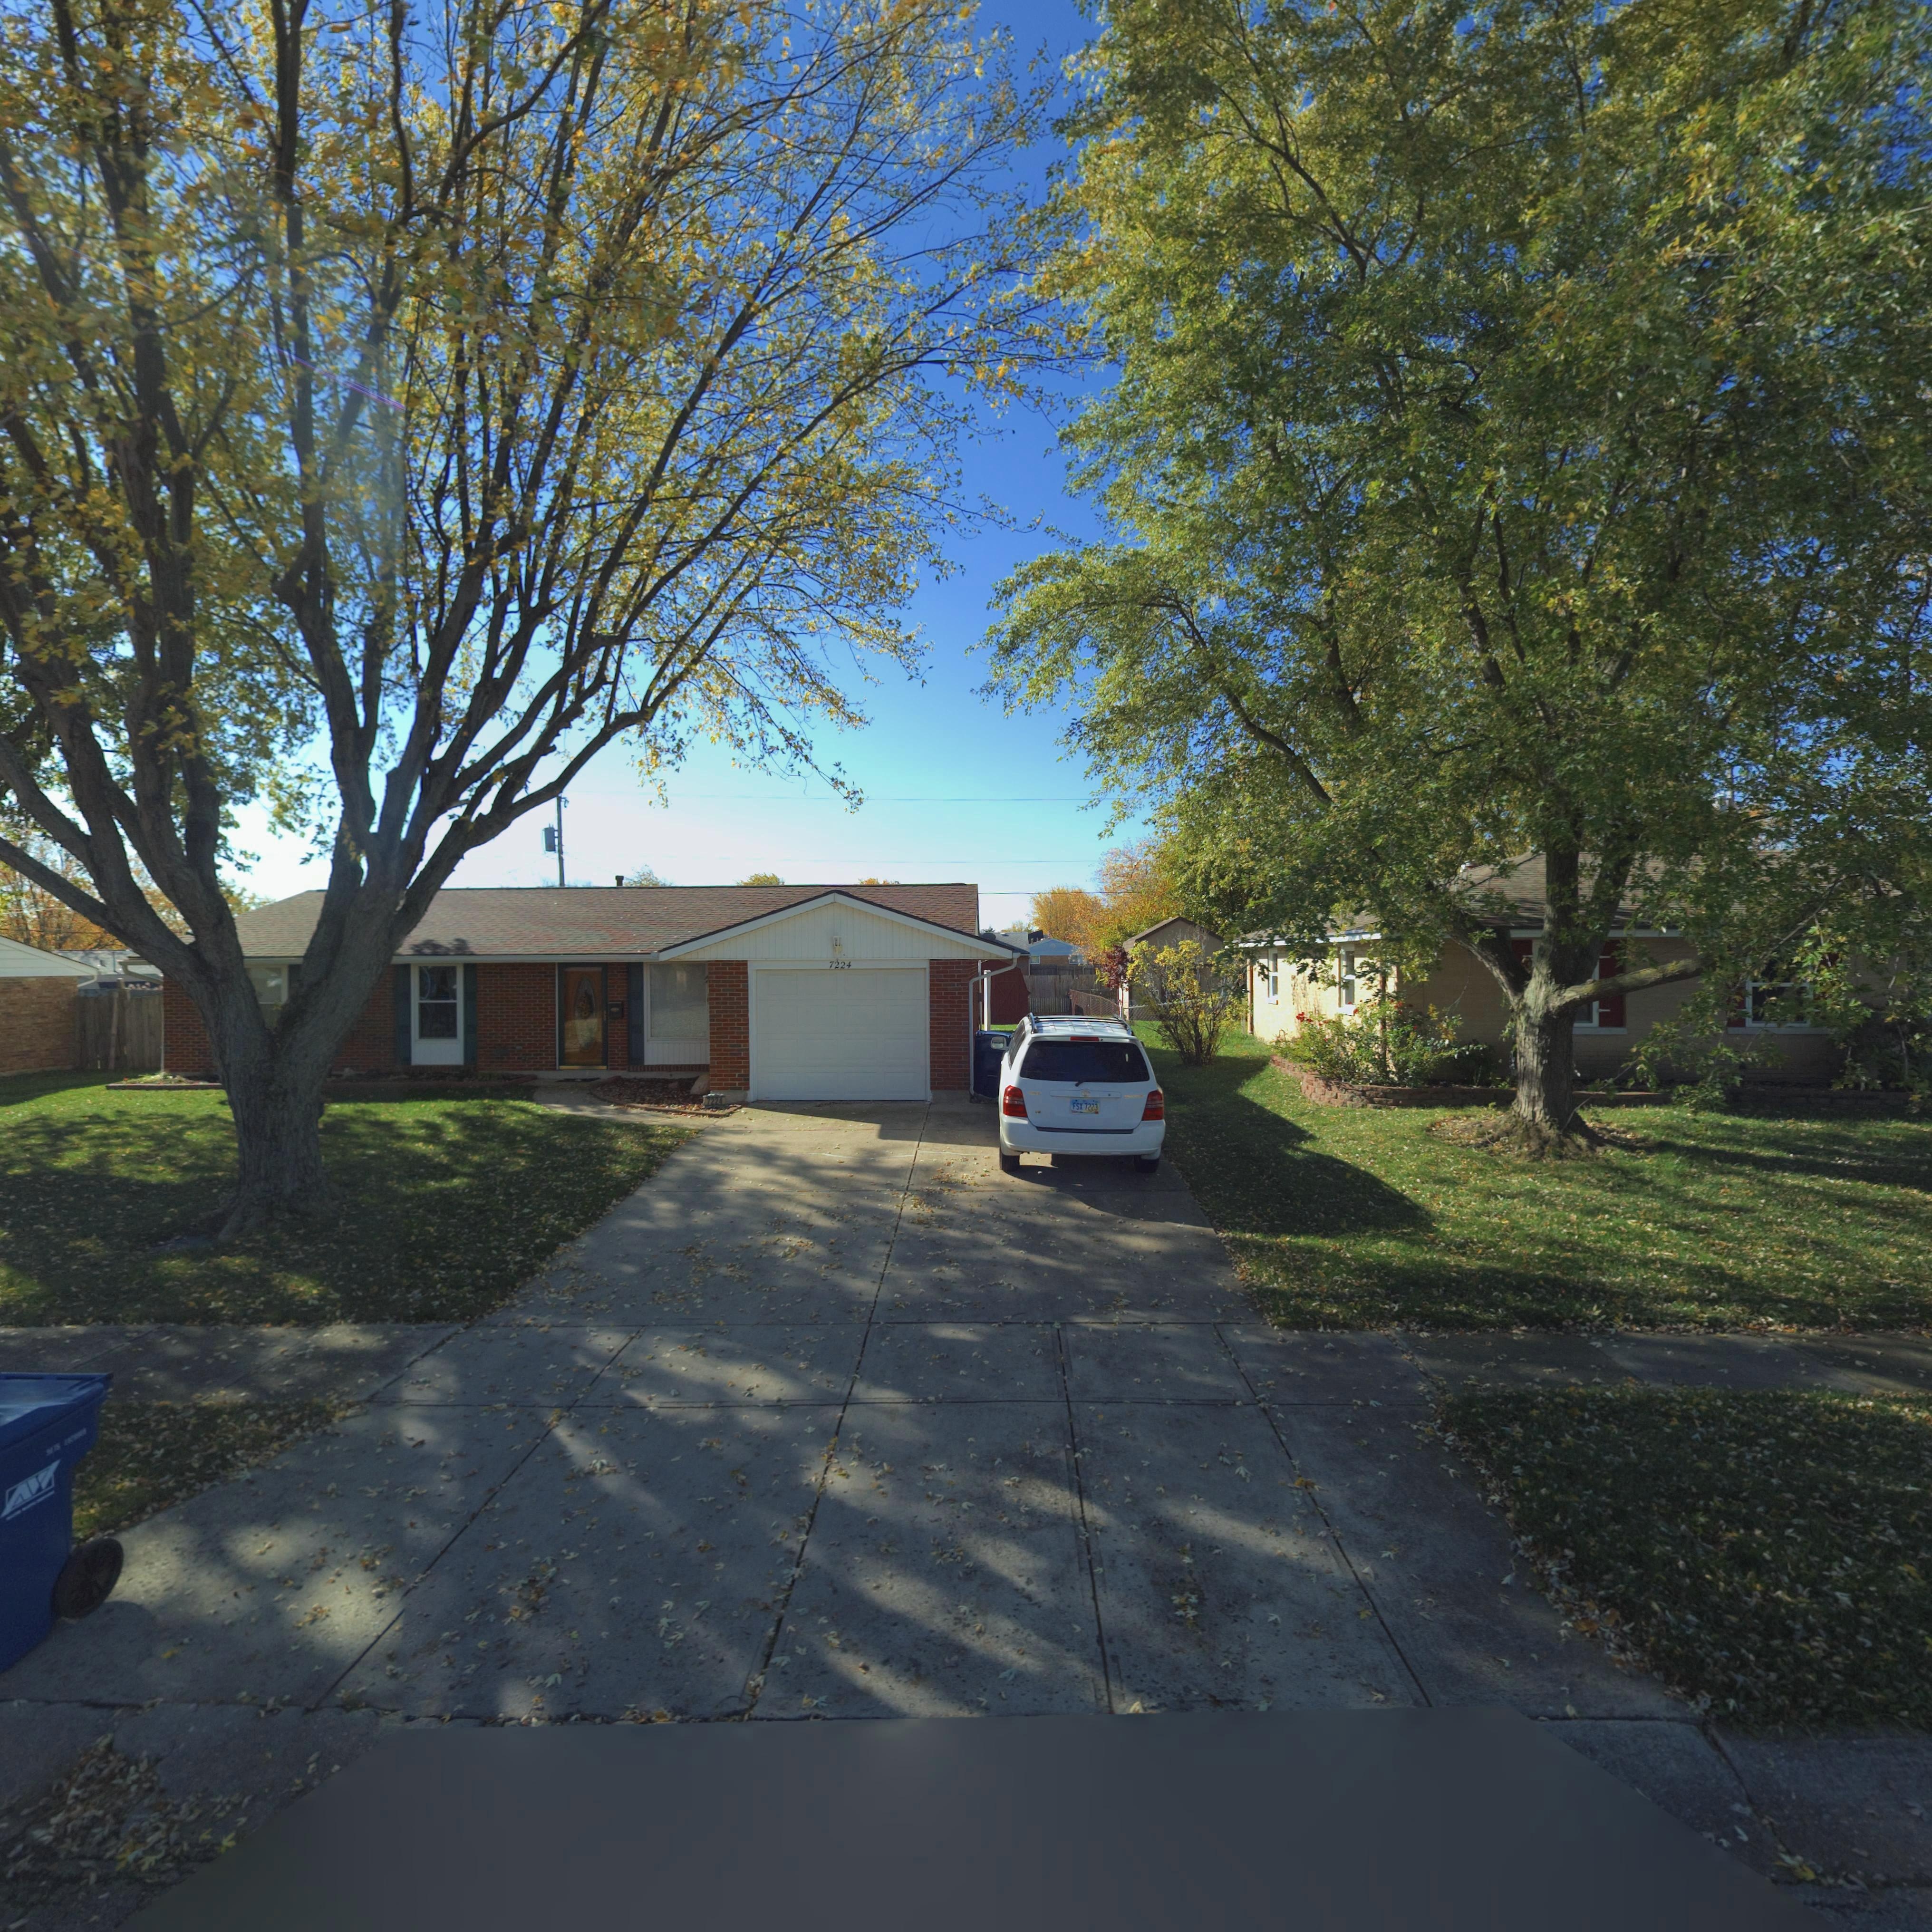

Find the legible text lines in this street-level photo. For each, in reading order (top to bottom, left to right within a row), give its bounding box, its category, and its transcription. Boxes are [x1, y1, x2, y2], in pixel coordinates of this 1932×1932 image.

[828, 960, 852, 970] StreetNumber: 7224
[705, 1096, 724, 1106] StreetNumber: 7224